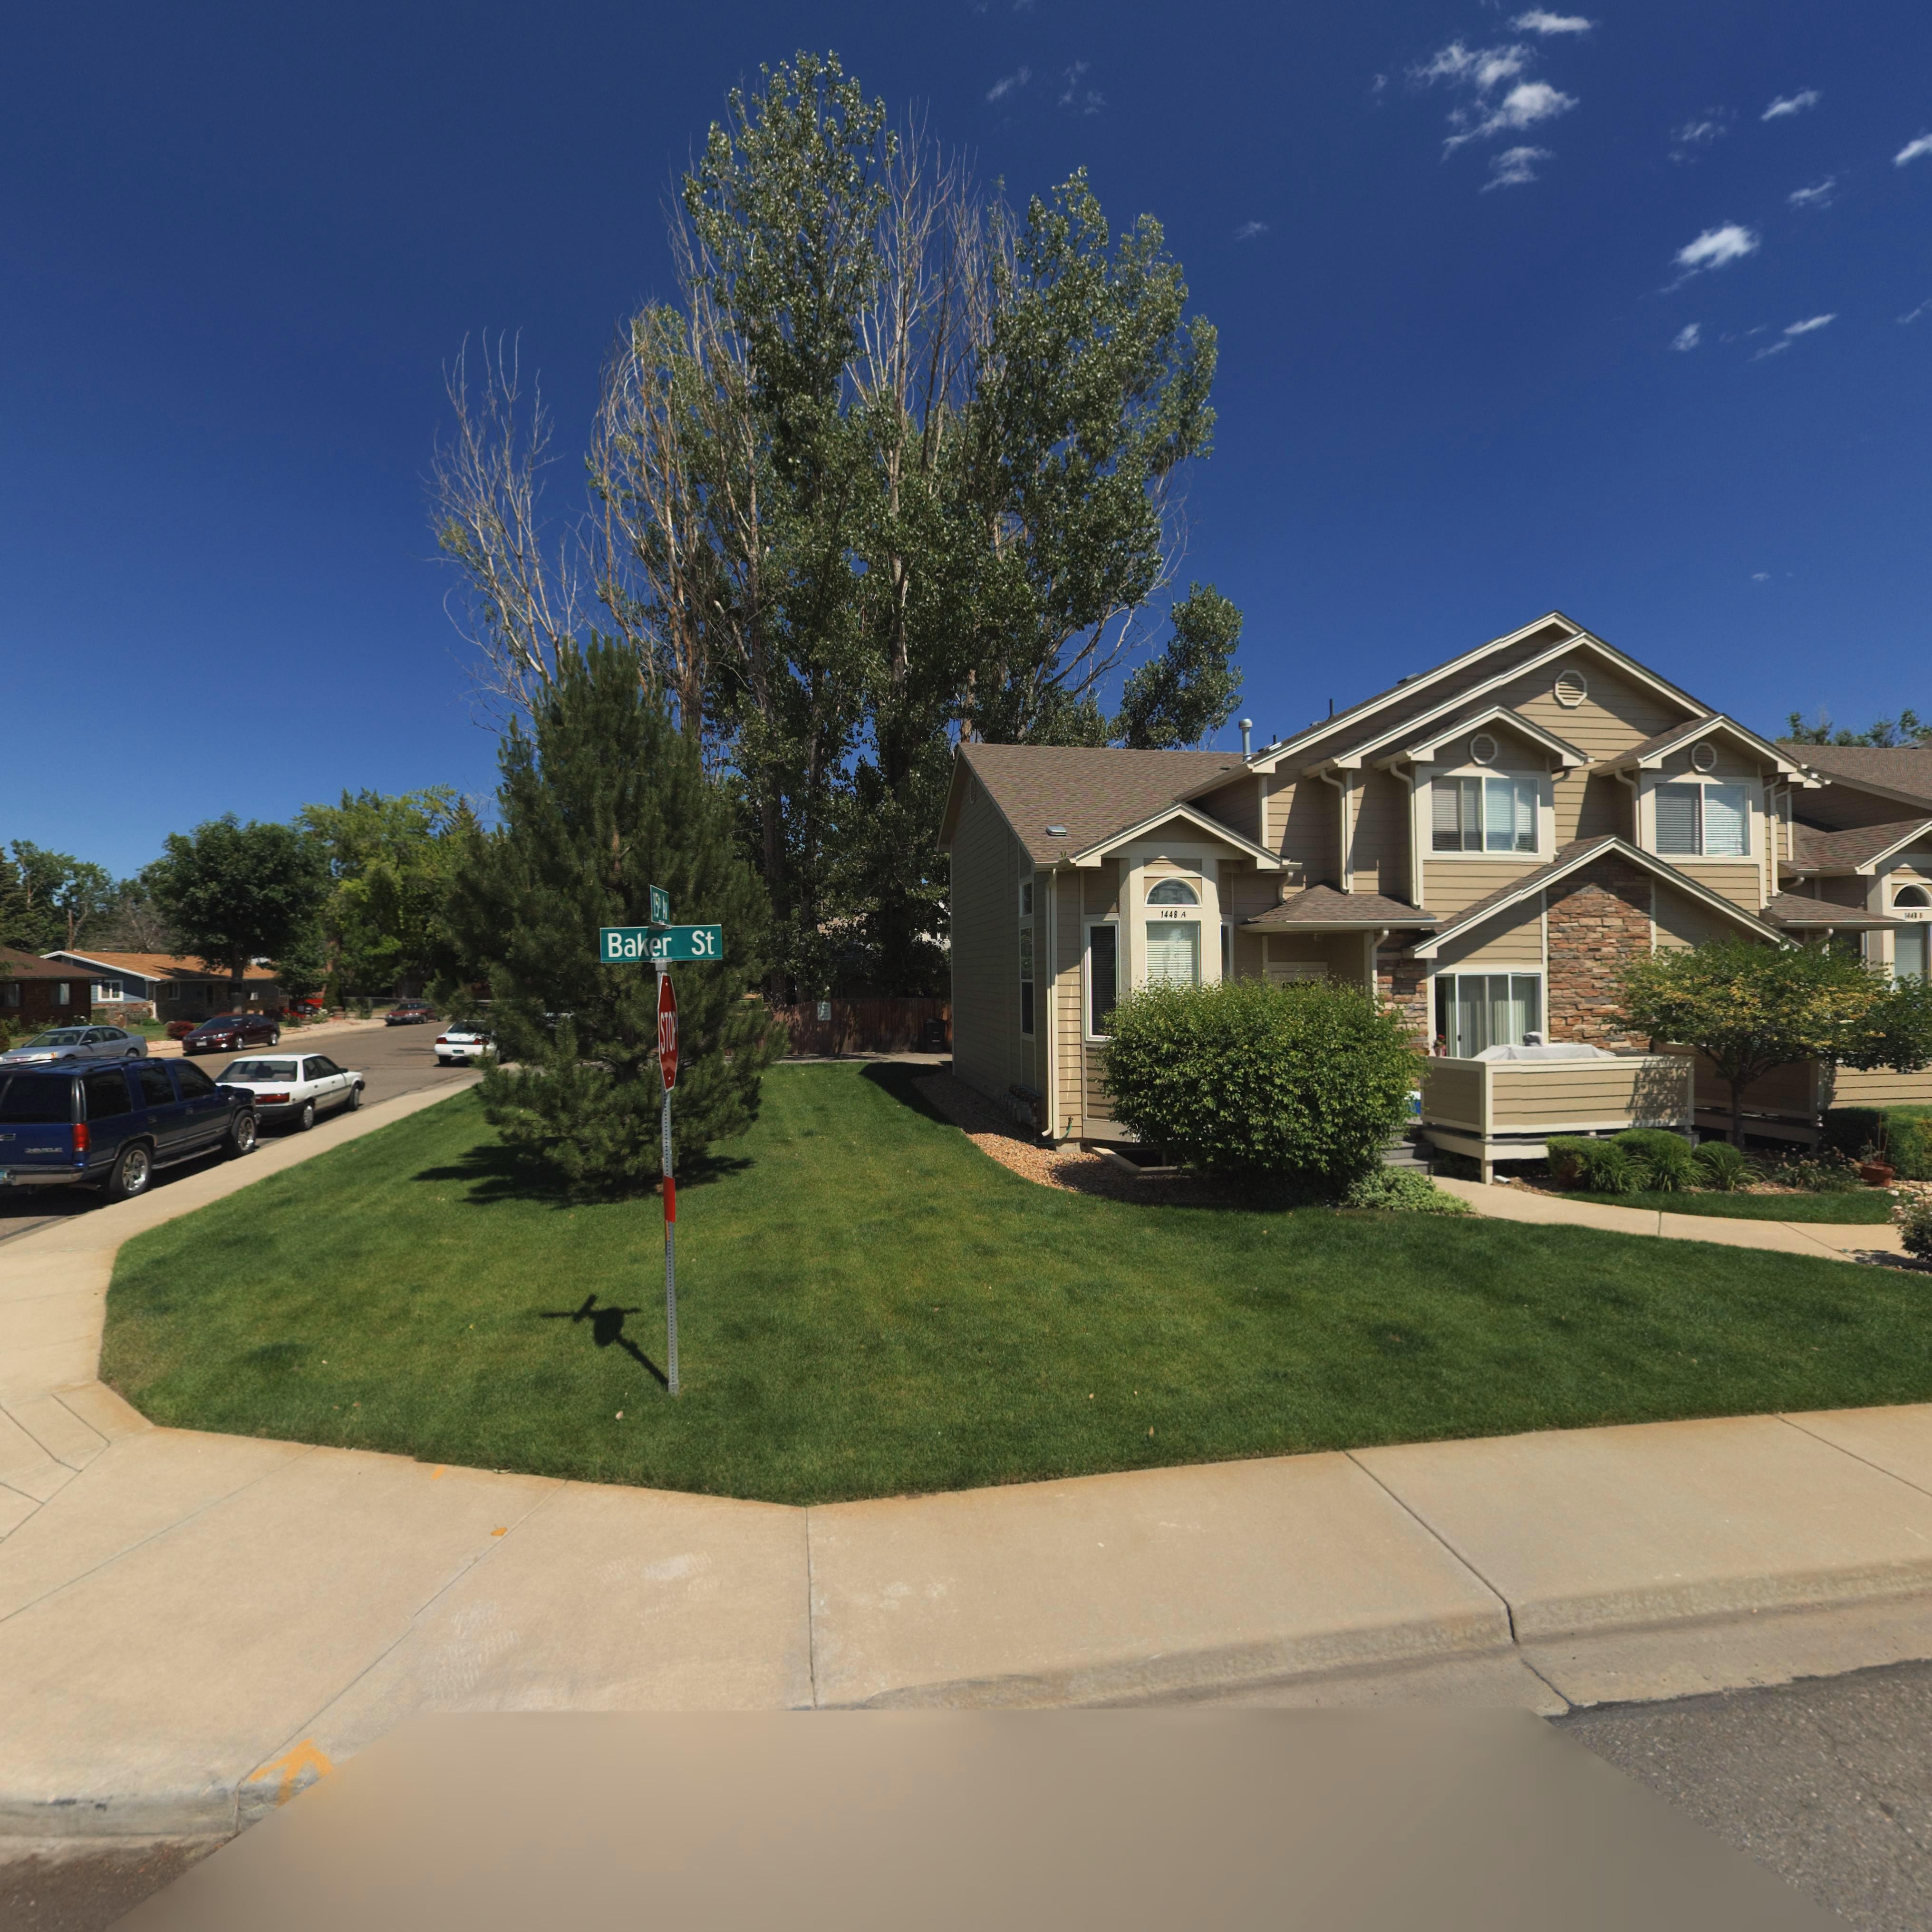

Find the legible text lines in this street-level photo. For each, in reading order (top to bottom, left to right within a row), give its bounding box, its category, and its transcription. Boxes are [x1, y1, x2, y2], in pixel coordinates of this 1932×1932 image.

[652, 890, 668, 920] StreetName: 15th Av
[1160, 910, 1187, 918] StreetNumber: 1448 A
[1903, 911, 1923, 919] StreetNumber: 1*** *
[608, 930, 715, 958] StreetName: Baker St